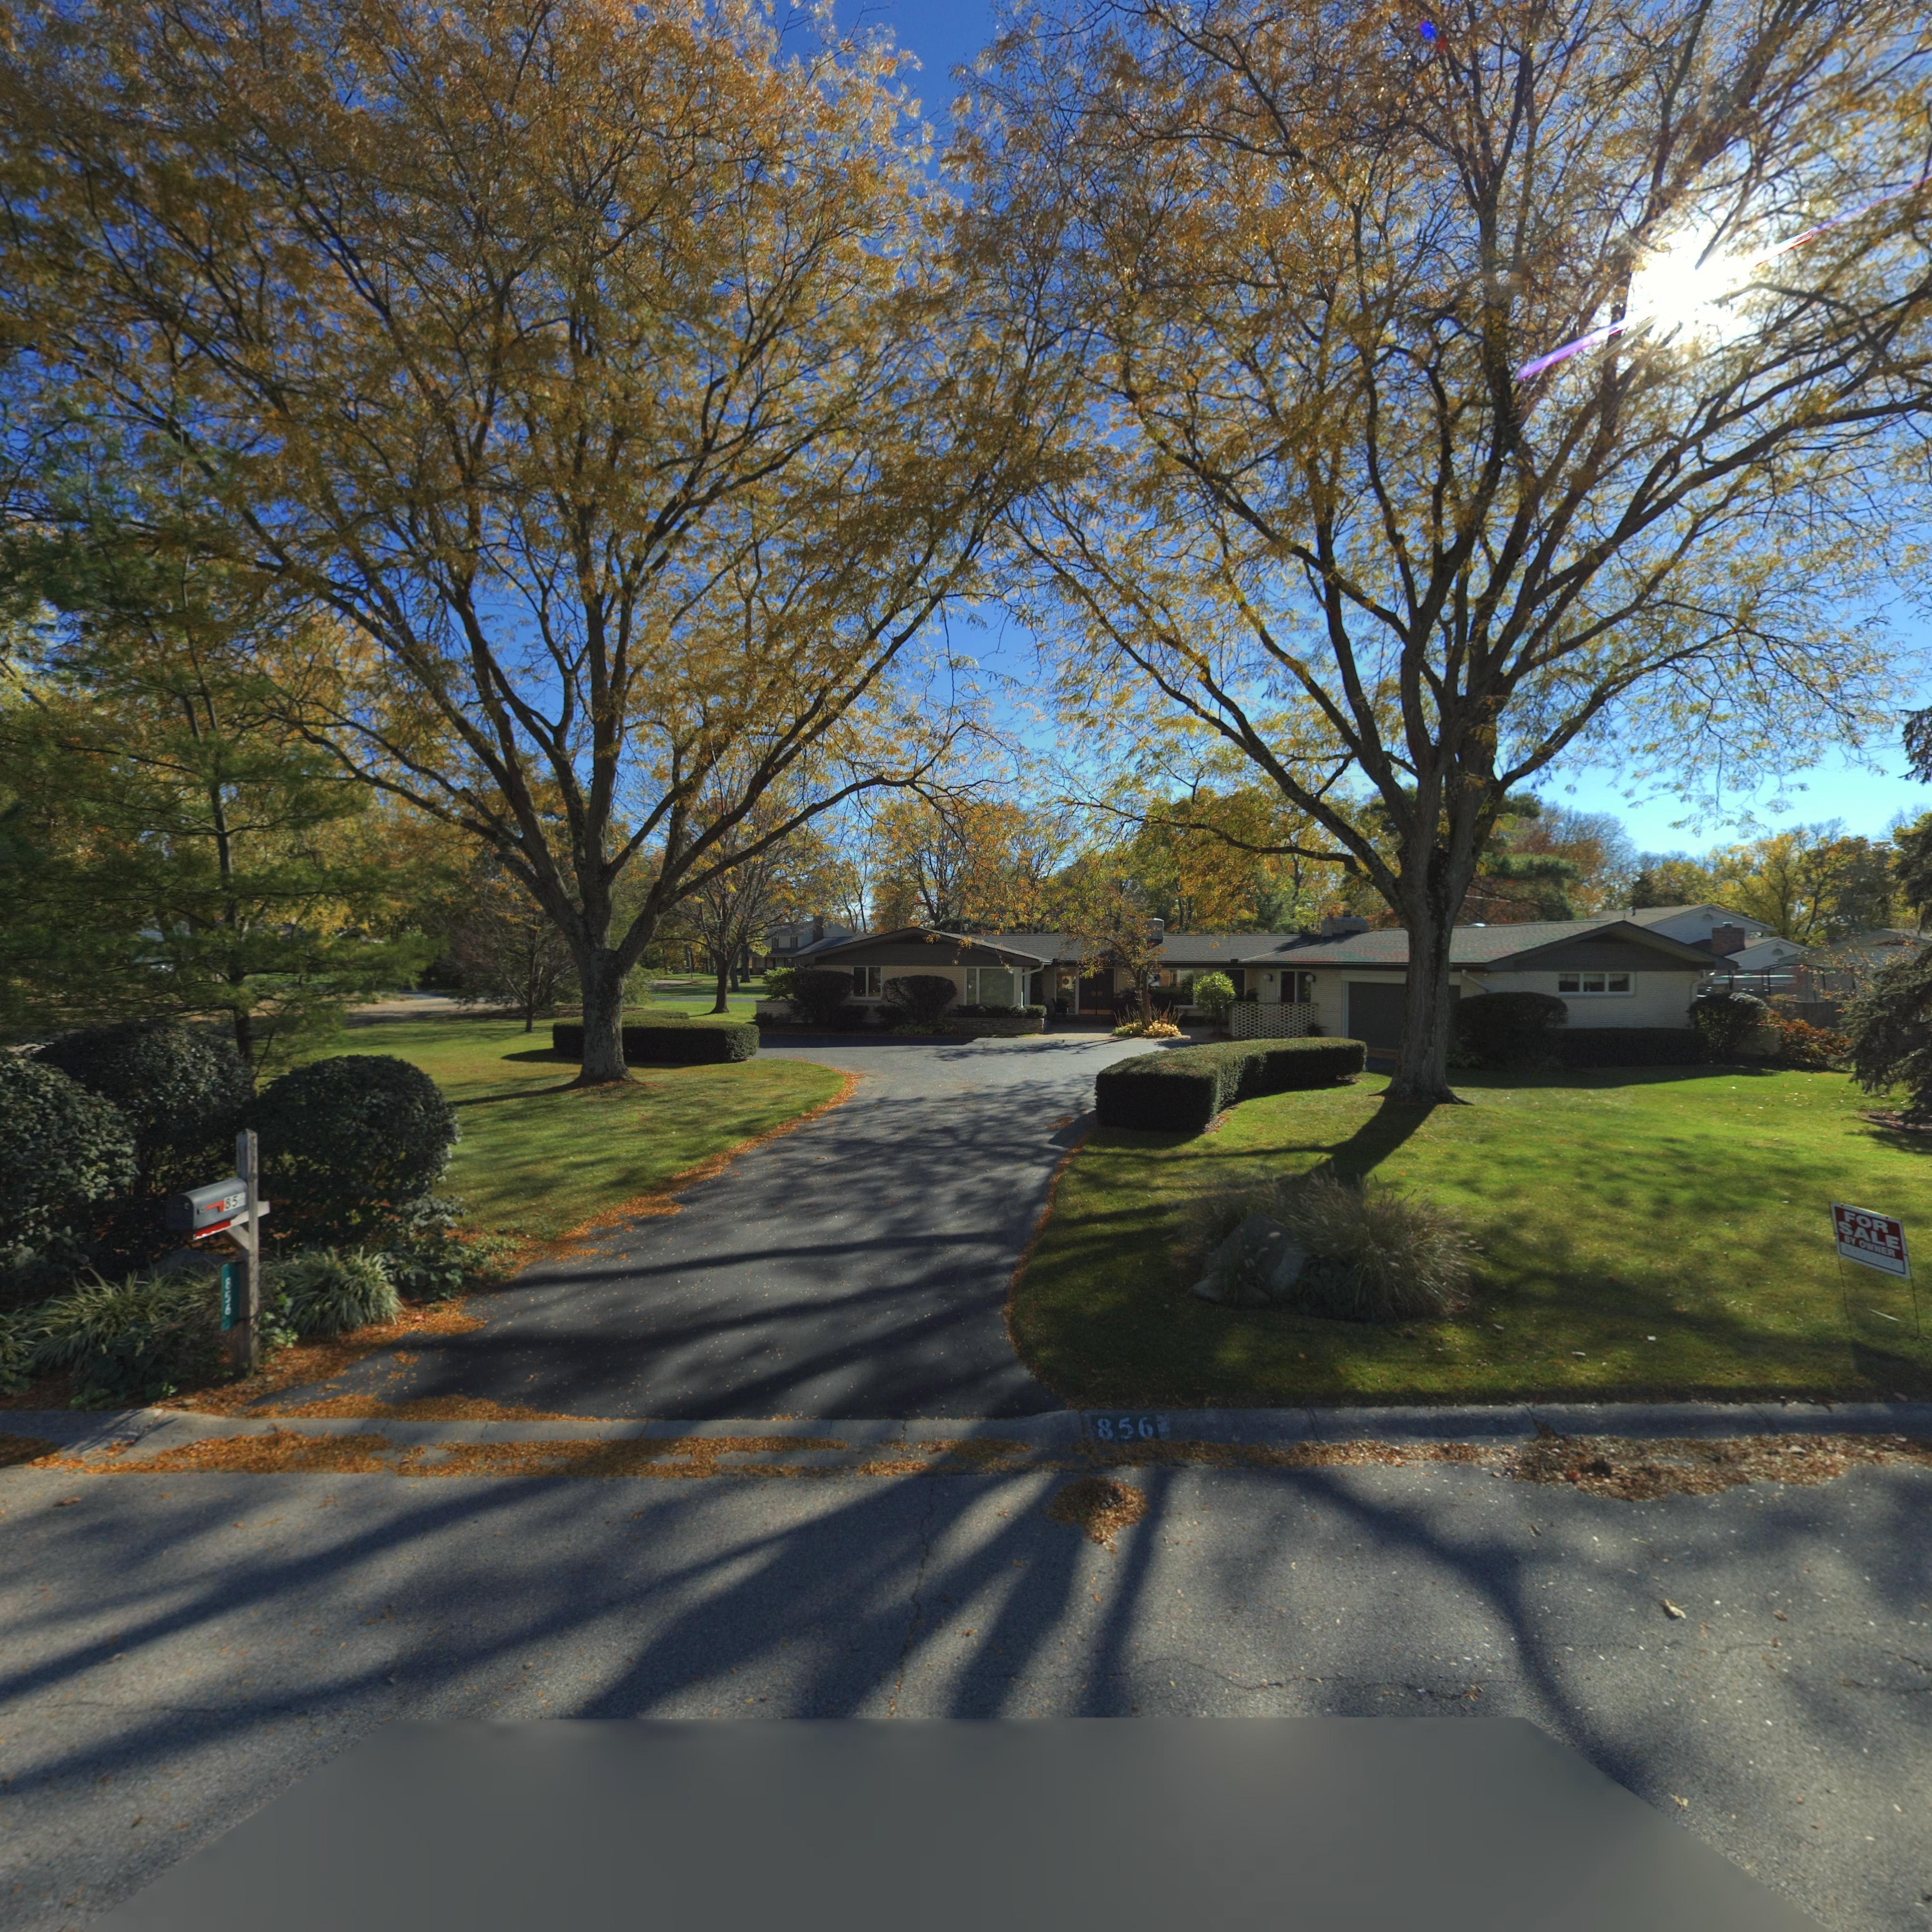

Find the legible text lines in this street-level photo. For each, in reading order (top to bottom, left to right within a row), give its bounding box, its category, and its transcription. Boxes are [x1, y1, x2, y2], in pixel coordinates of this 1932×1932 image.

[224, 1194, 238, 1209] StreetNumber: 85
[1844, 1209, 1889, 1235] None: FOR
[1838, 1220, 1901, 1252] None: SALE
[1844, 1234, 1897, 1259] None: BY OWNER
[222, 1276, 233, 1317] StreetNumber: 856
[1094, 1415, 1155, 1442] StreetNumber: 856